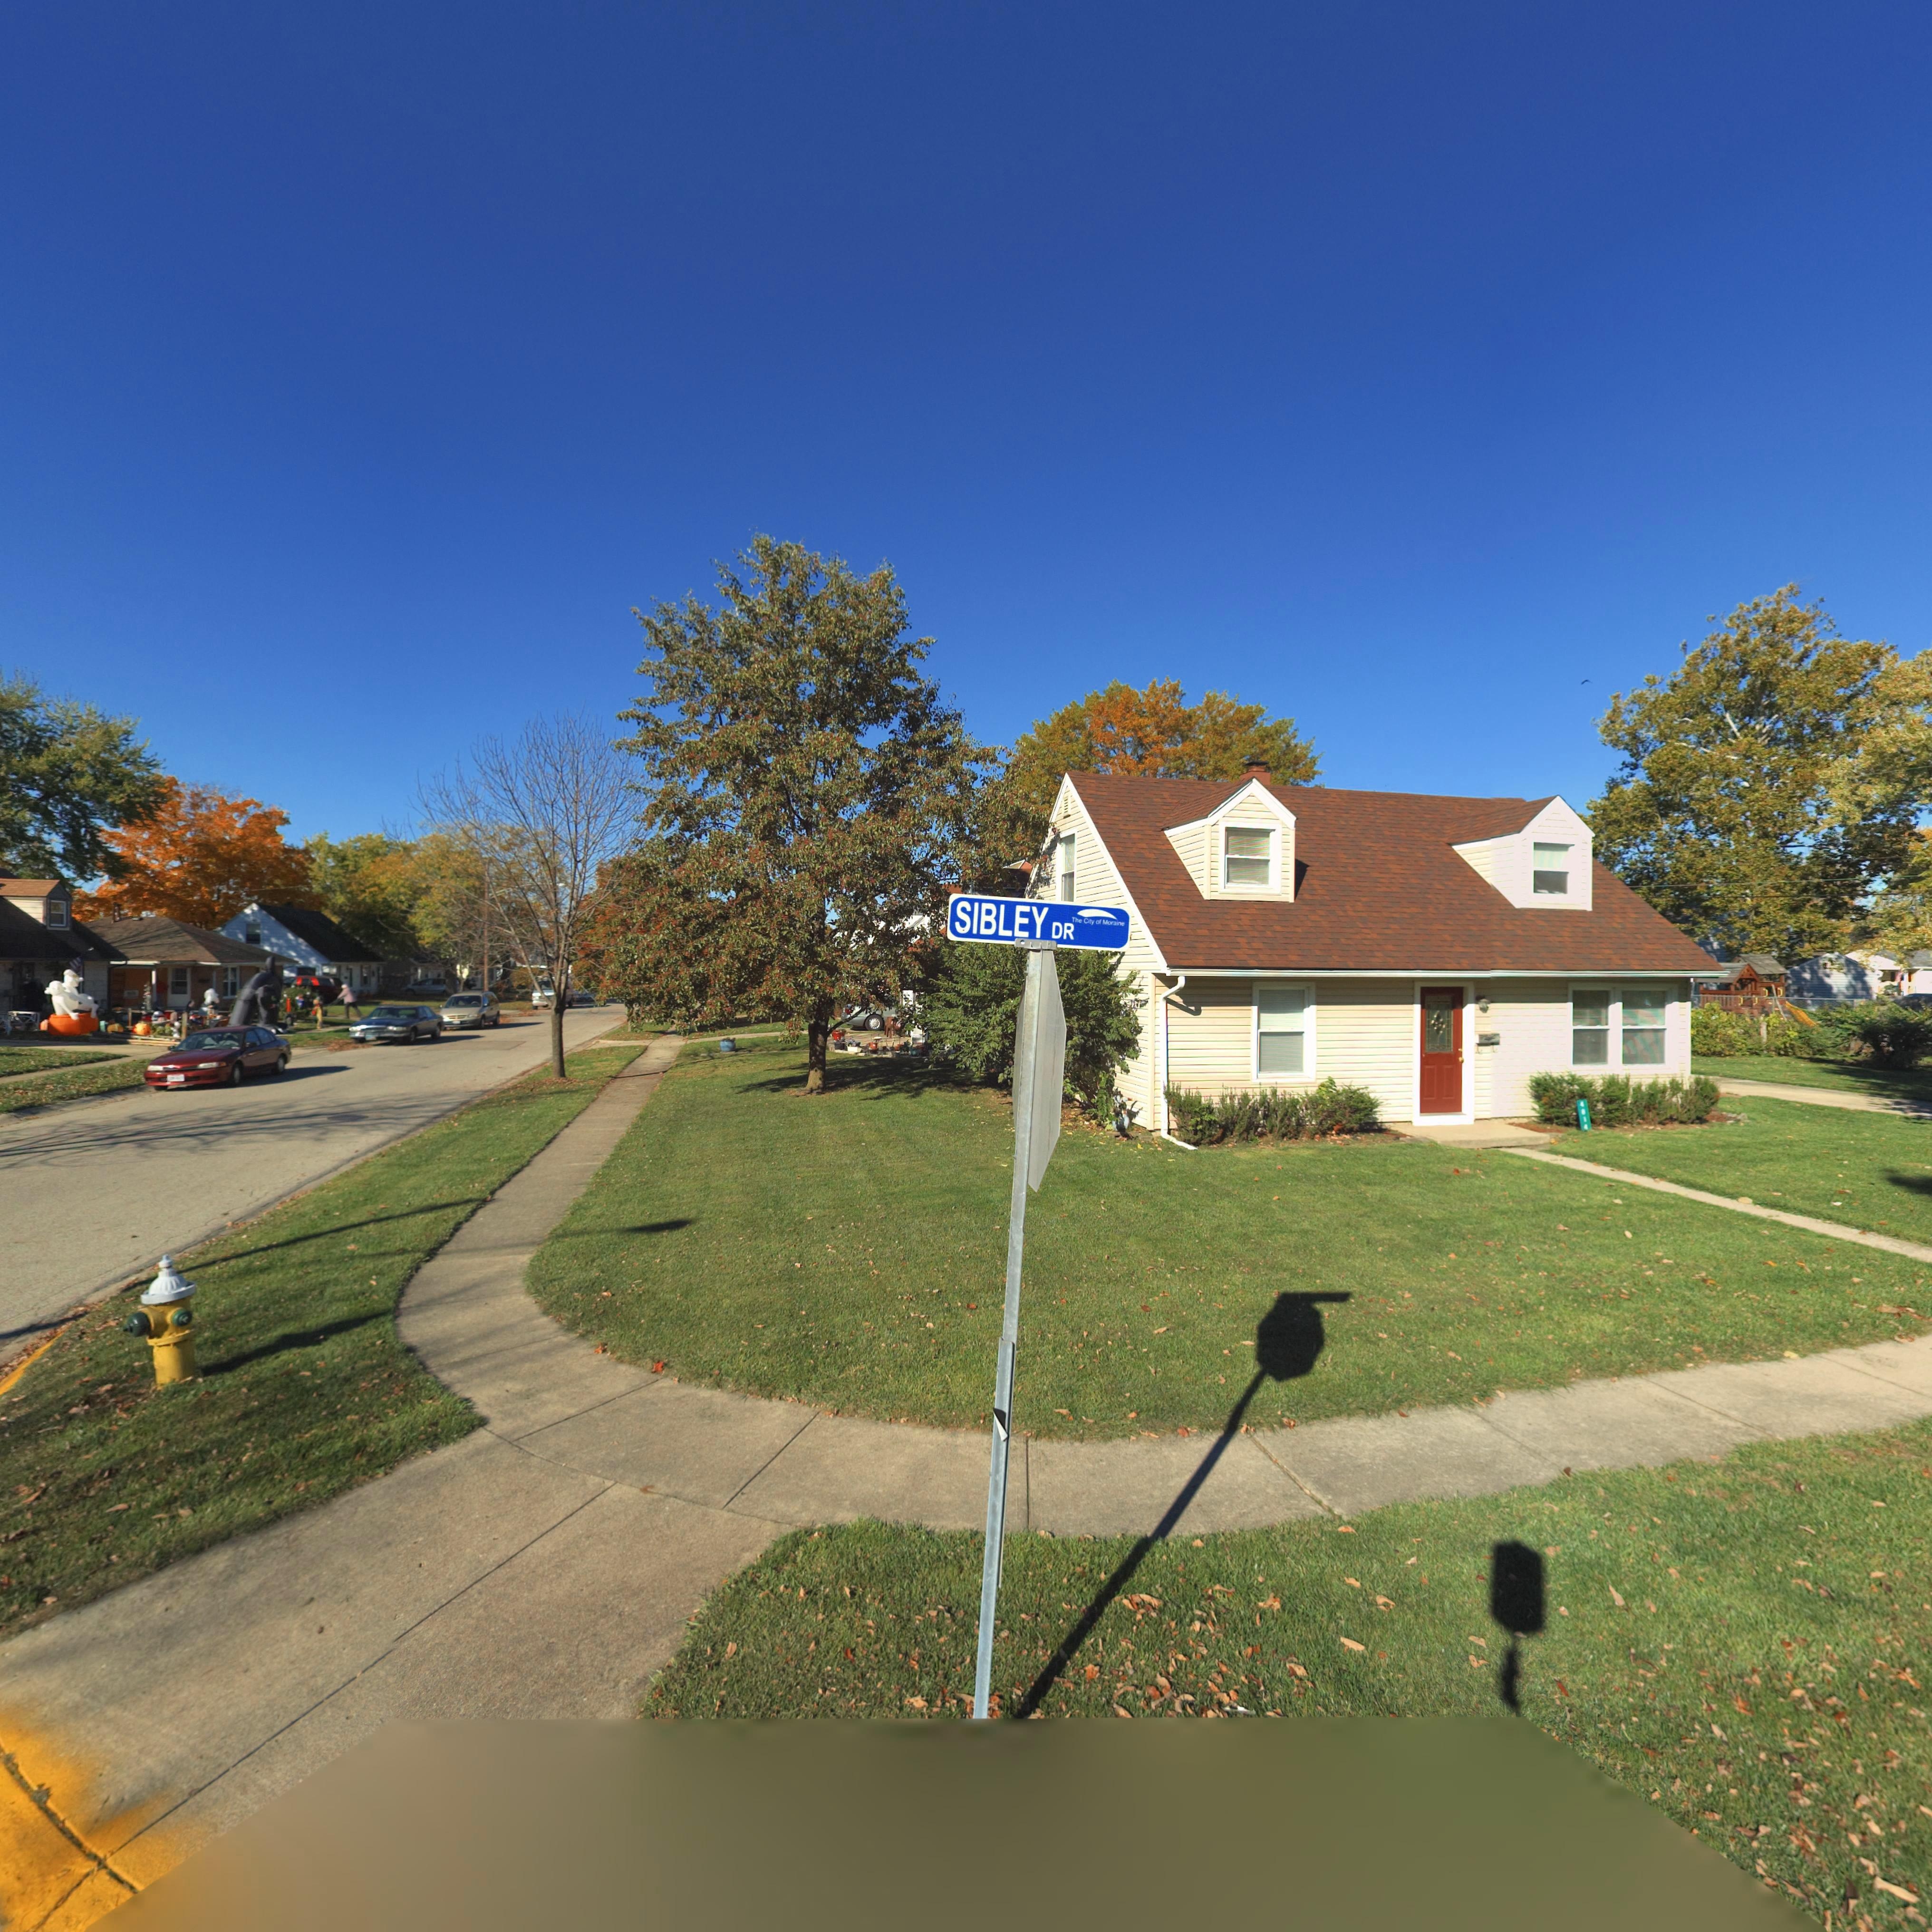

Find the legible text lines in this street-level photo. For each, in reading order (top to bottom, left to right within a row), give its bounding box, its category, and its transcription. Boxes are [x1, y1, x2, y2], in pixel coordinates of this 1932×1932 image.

[1578, 1100, 1589, 1131] StreetNumber: **1*